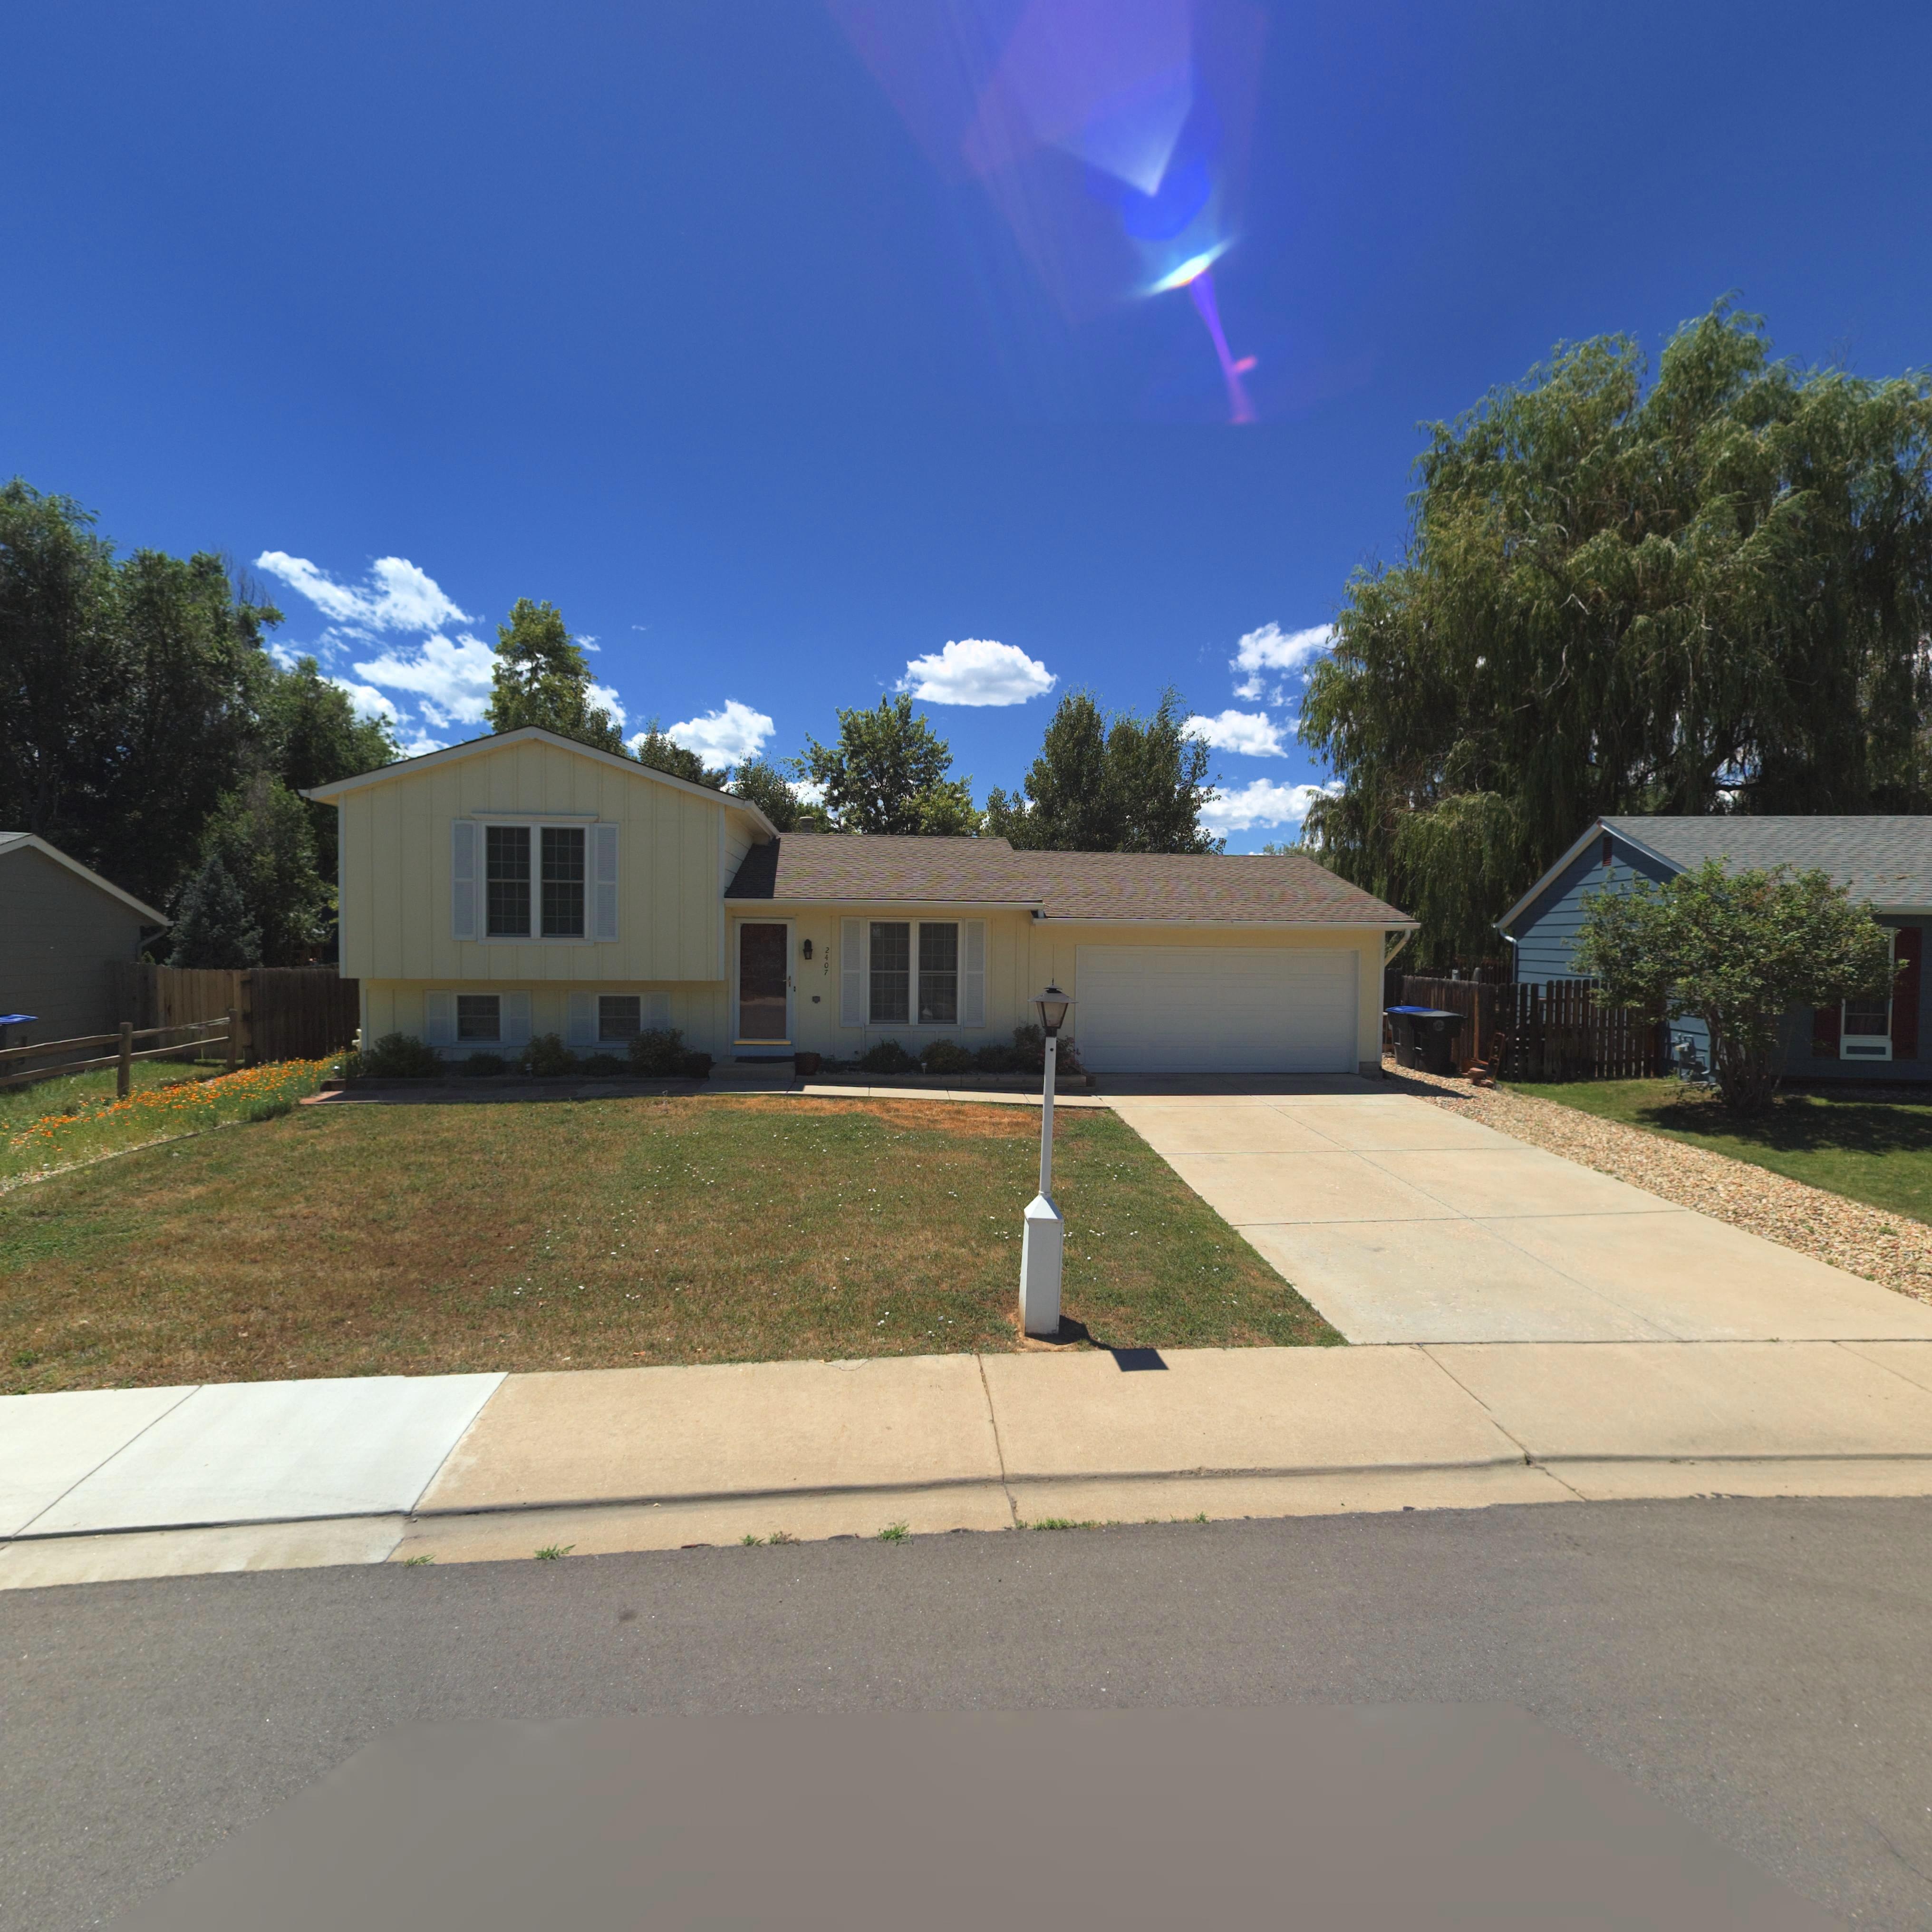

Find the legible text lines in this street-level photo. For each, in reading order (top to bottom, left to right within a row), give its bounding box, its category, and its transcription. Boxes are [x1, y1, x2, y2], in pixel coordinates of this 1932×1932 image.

[824, 946, 830, 976] StreetNumber: 2407